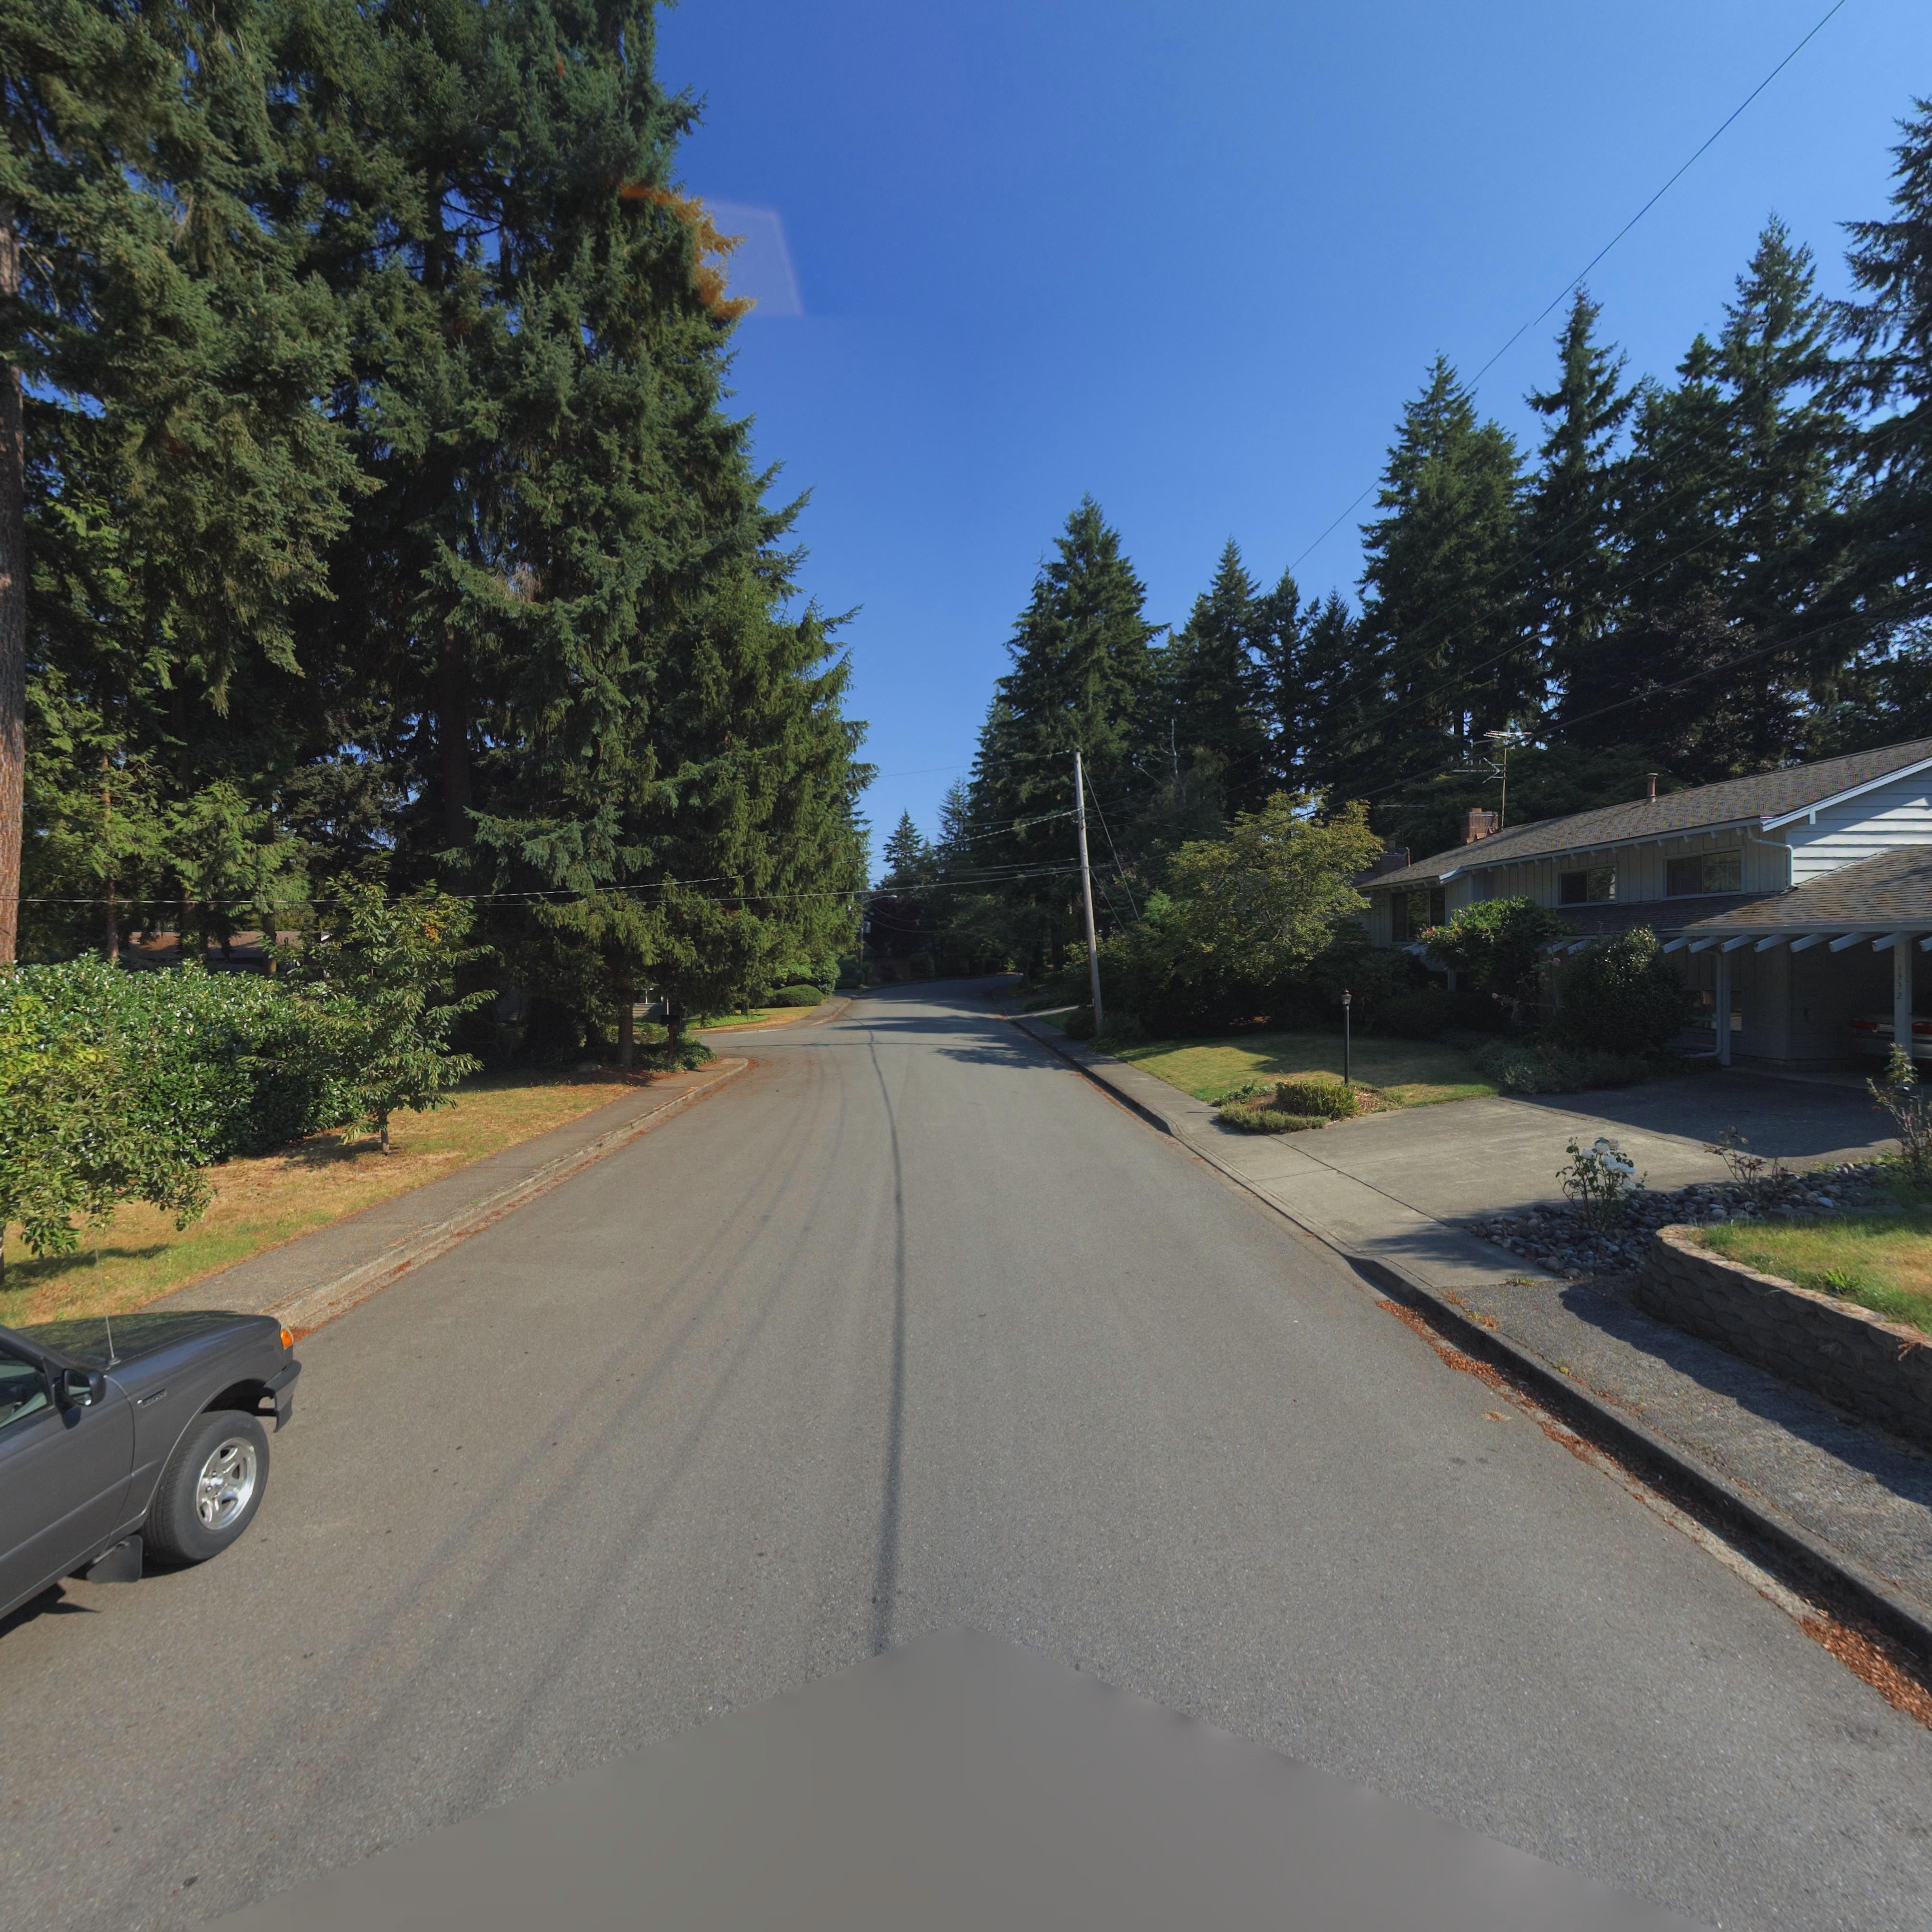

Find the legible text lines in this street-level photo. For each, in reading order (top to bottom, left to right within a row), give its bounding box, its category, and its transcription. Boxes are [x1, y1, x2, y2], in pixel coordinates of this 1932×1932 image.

[1896, 965, 1903, 999] StreetNumber: 1332